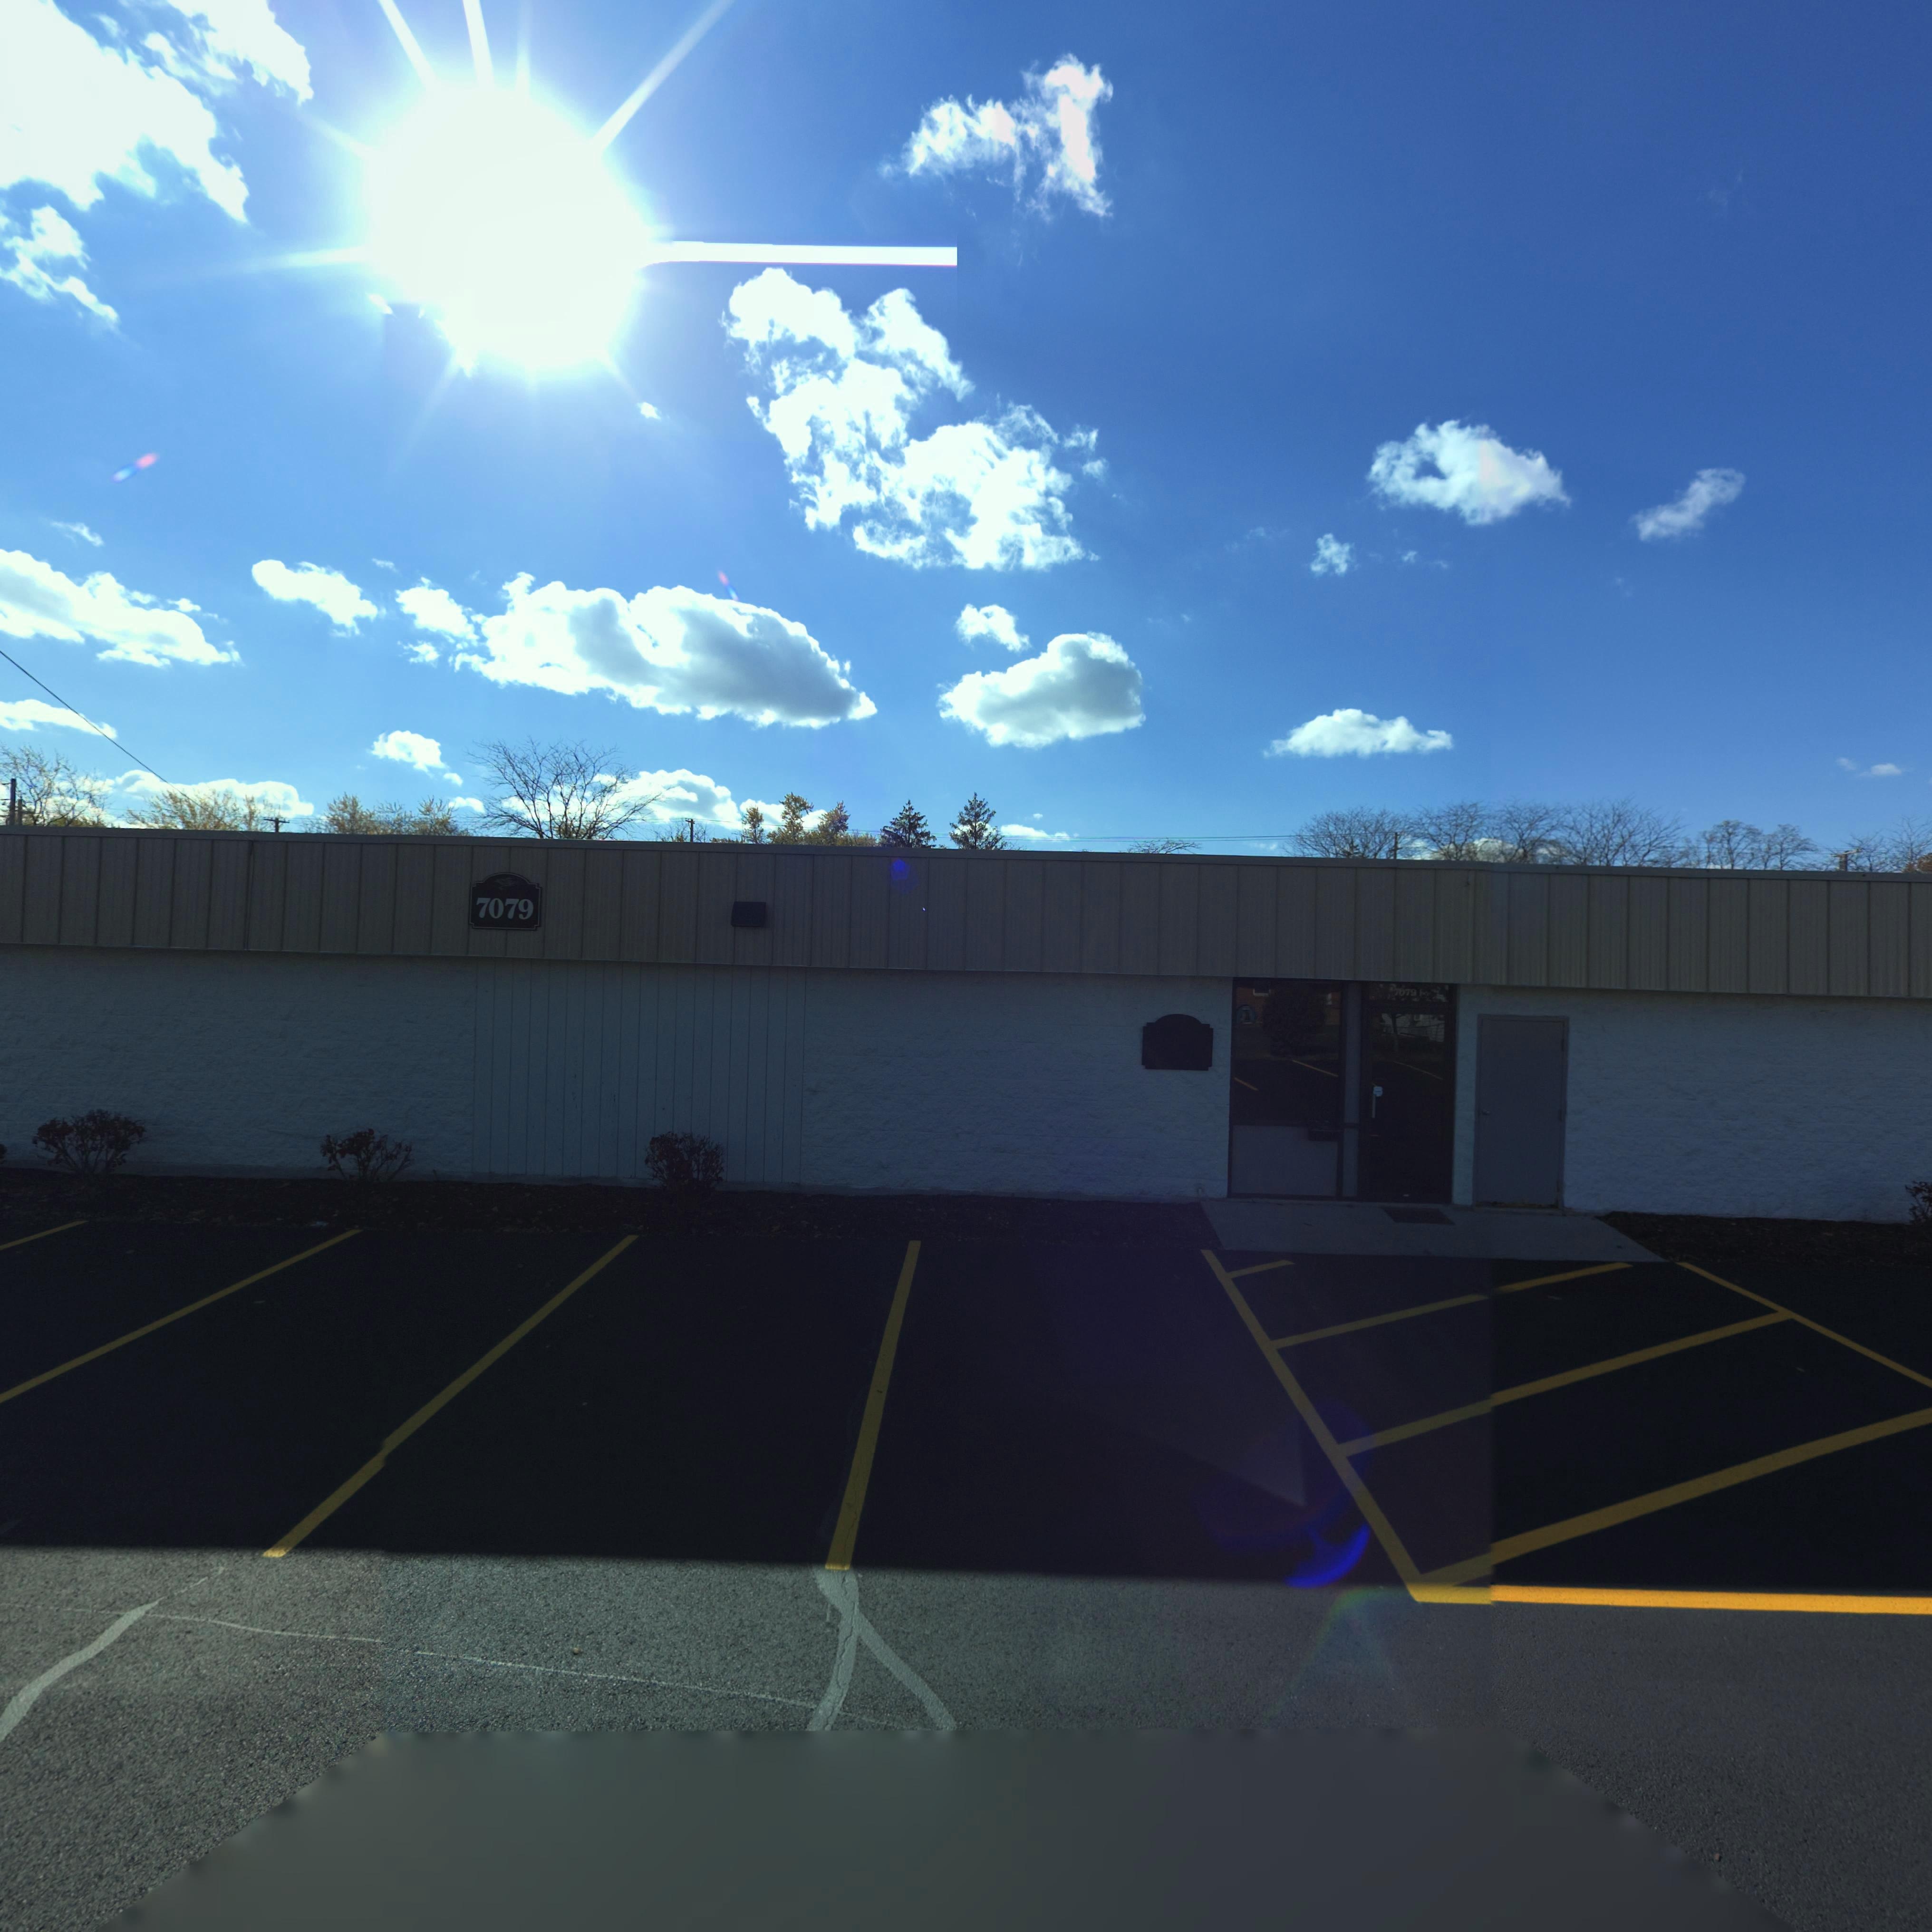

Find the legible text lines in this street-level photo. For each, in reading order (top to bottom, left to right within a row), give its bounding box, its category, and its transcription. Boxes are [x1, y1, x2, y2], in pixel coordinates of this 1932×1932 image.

[474, 896, 535, 921] StreetNumber: 7079
[1393, 987, 1424, 997] StreetNumber: 7079 *